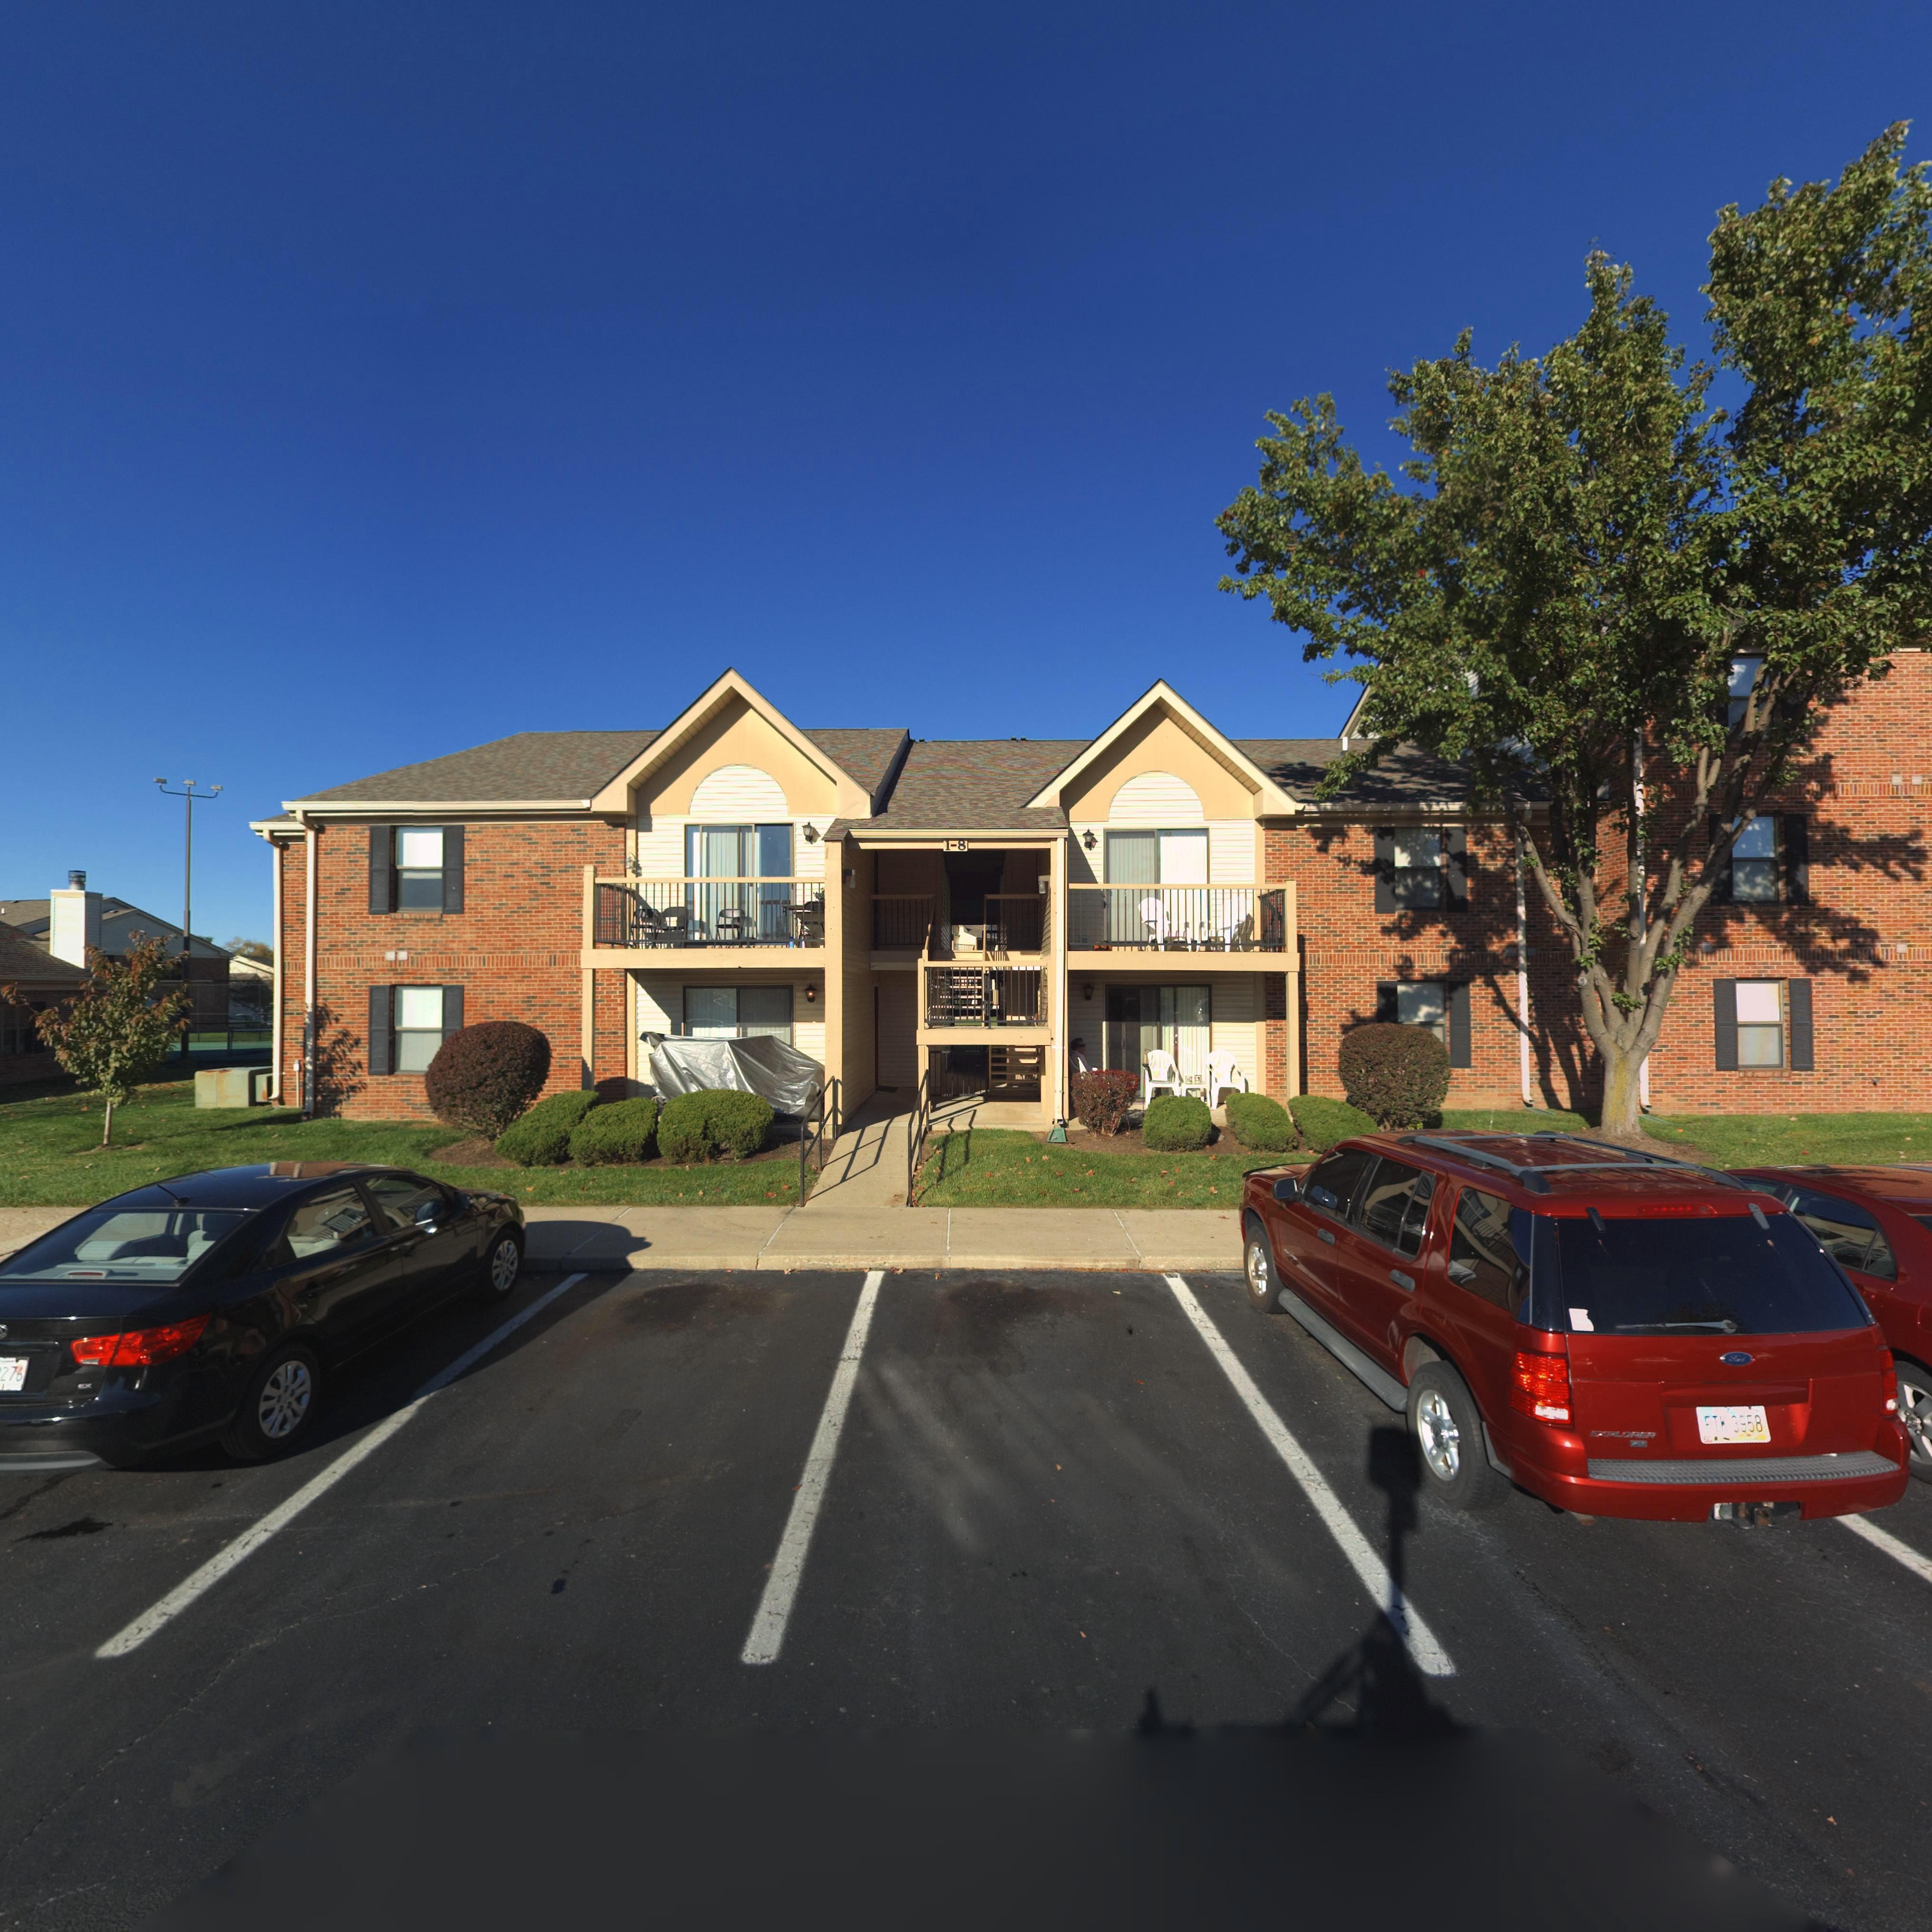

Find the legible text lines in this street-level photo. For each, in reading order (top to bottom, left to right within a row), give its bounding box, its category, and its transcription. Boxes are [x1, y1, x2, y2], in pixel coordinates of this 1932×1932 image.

[944, 838, 967, 851] StreetNumber: 1-8